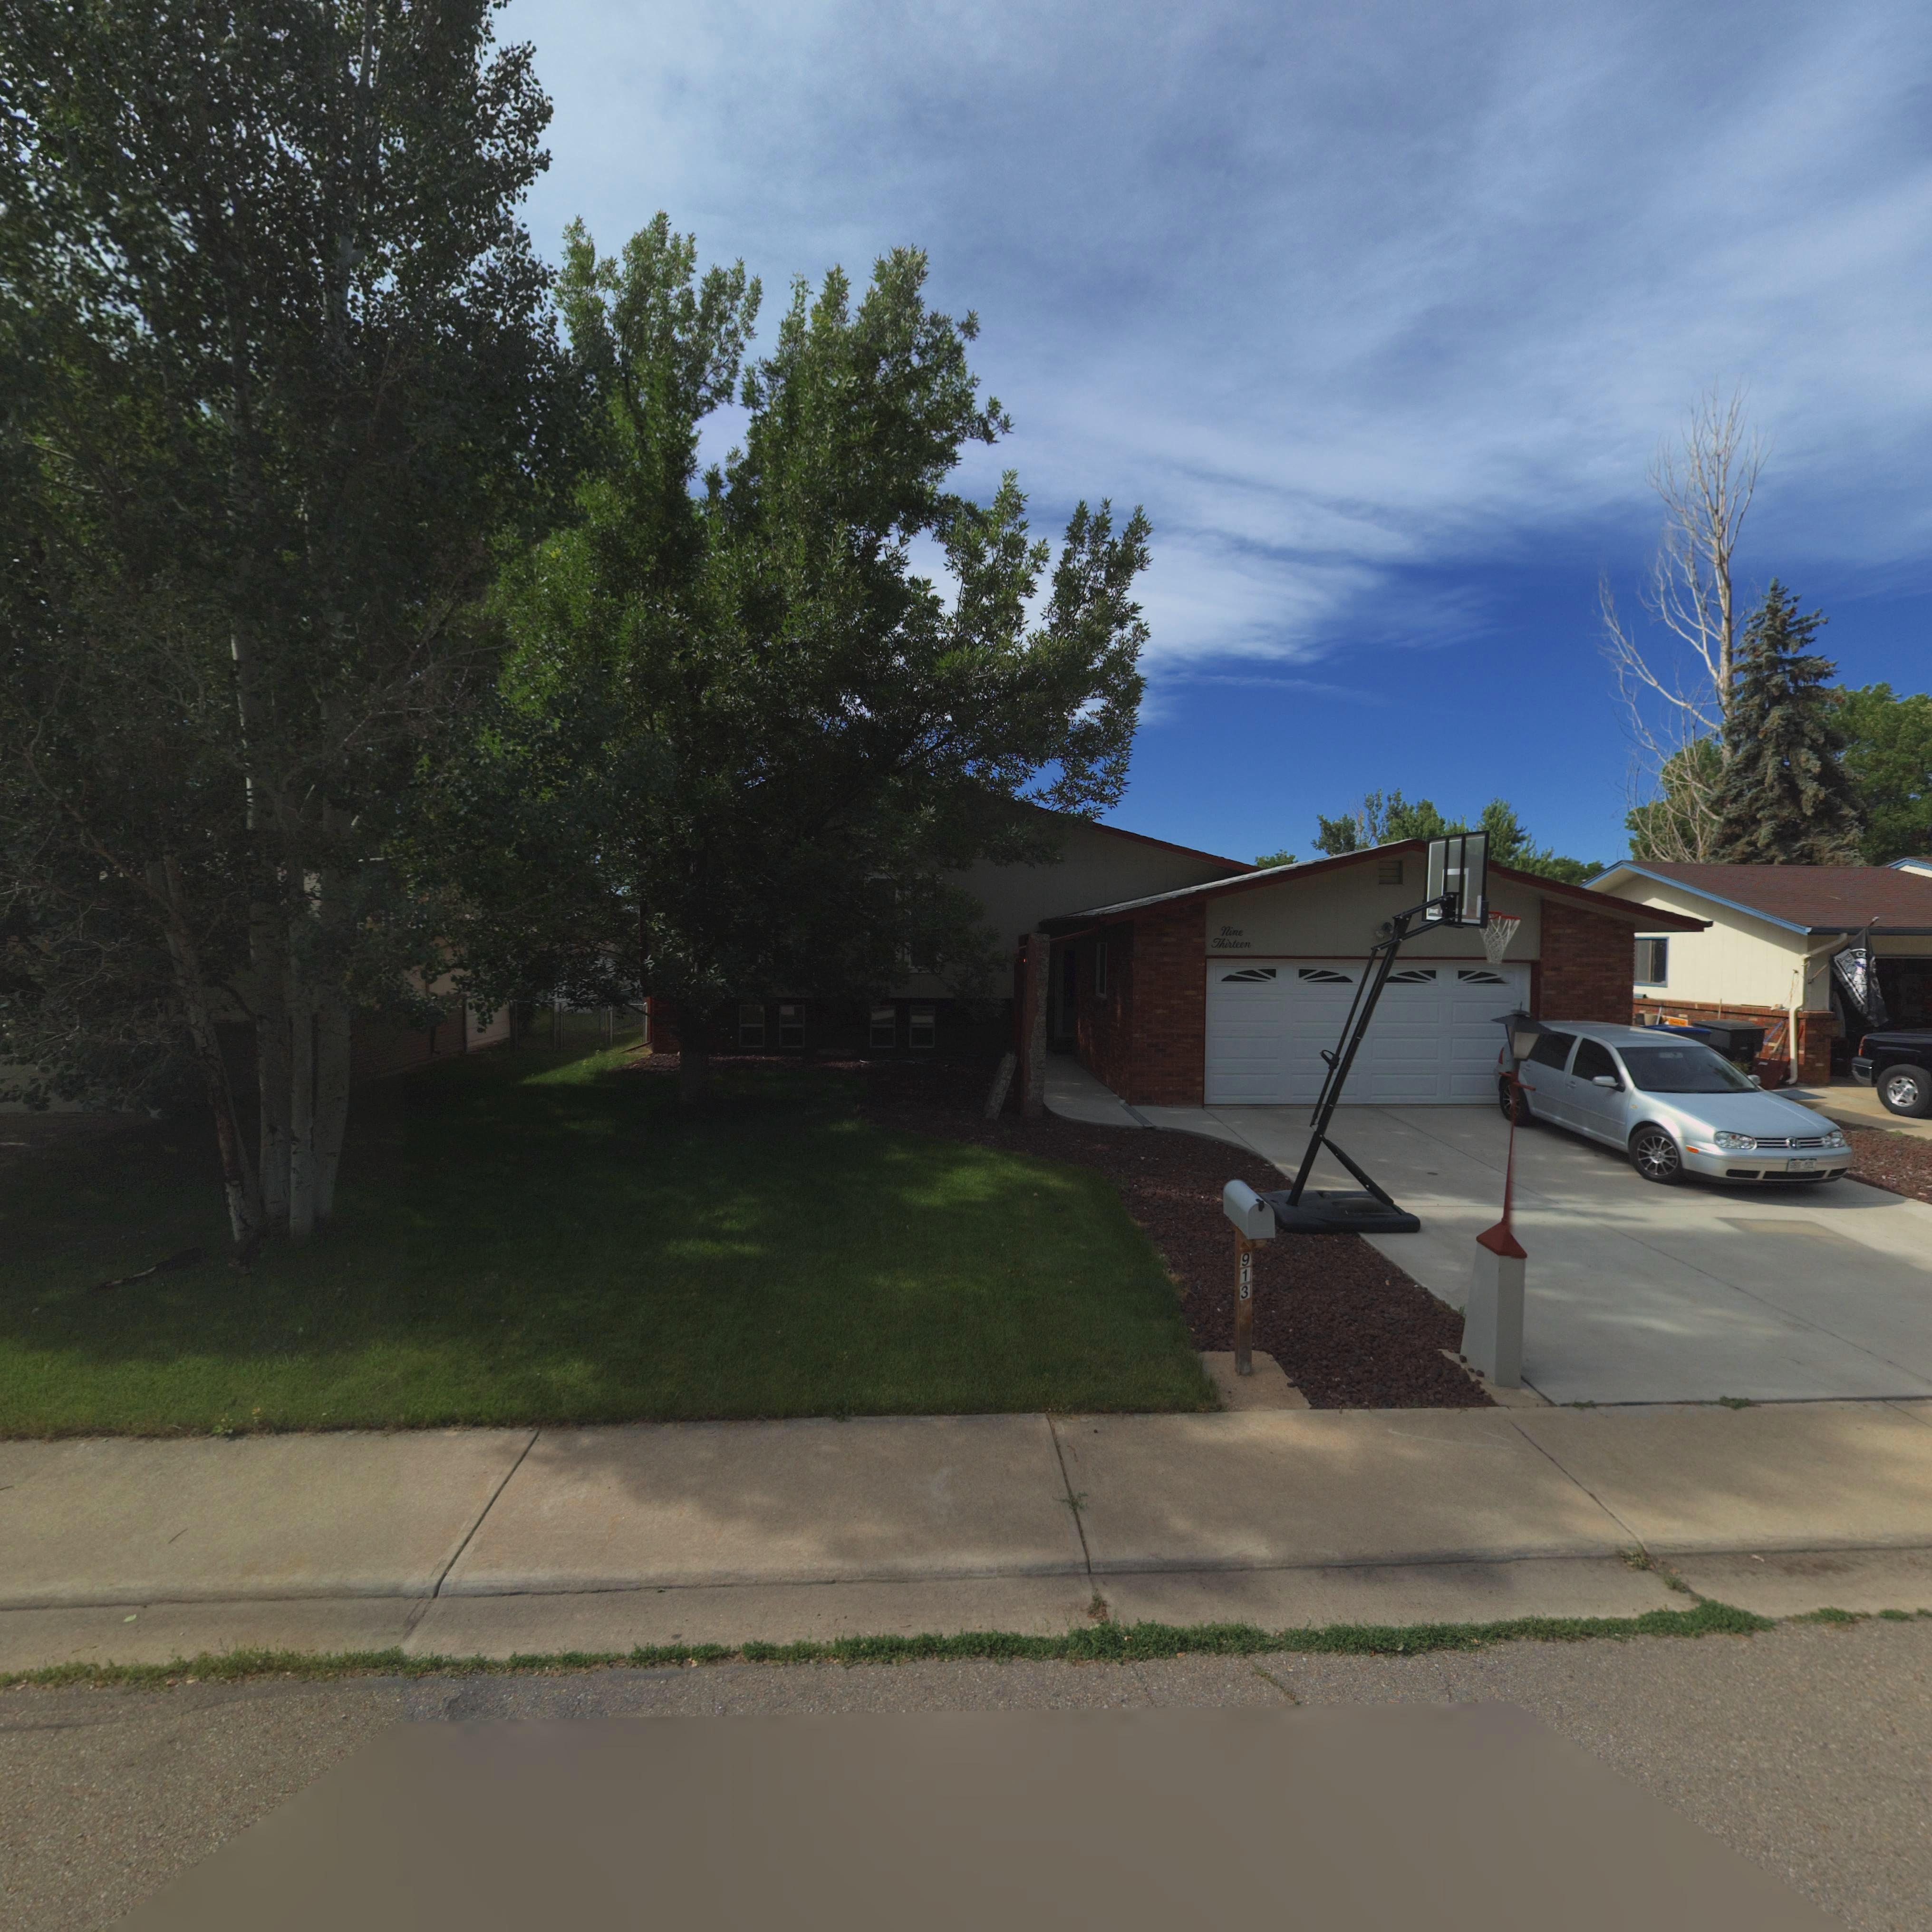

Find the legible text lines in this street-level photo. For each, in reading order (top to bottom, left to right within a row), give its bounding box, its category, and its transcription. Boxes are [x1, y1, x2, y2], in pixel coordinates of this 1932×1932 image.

[1220, 925, 1243, 937] StreetNumber: Nine
[1211, 937, 1252, 948] StreetNumber: Thirteen
[1240, 1252, 1250, 1300] StreetNumber: 913